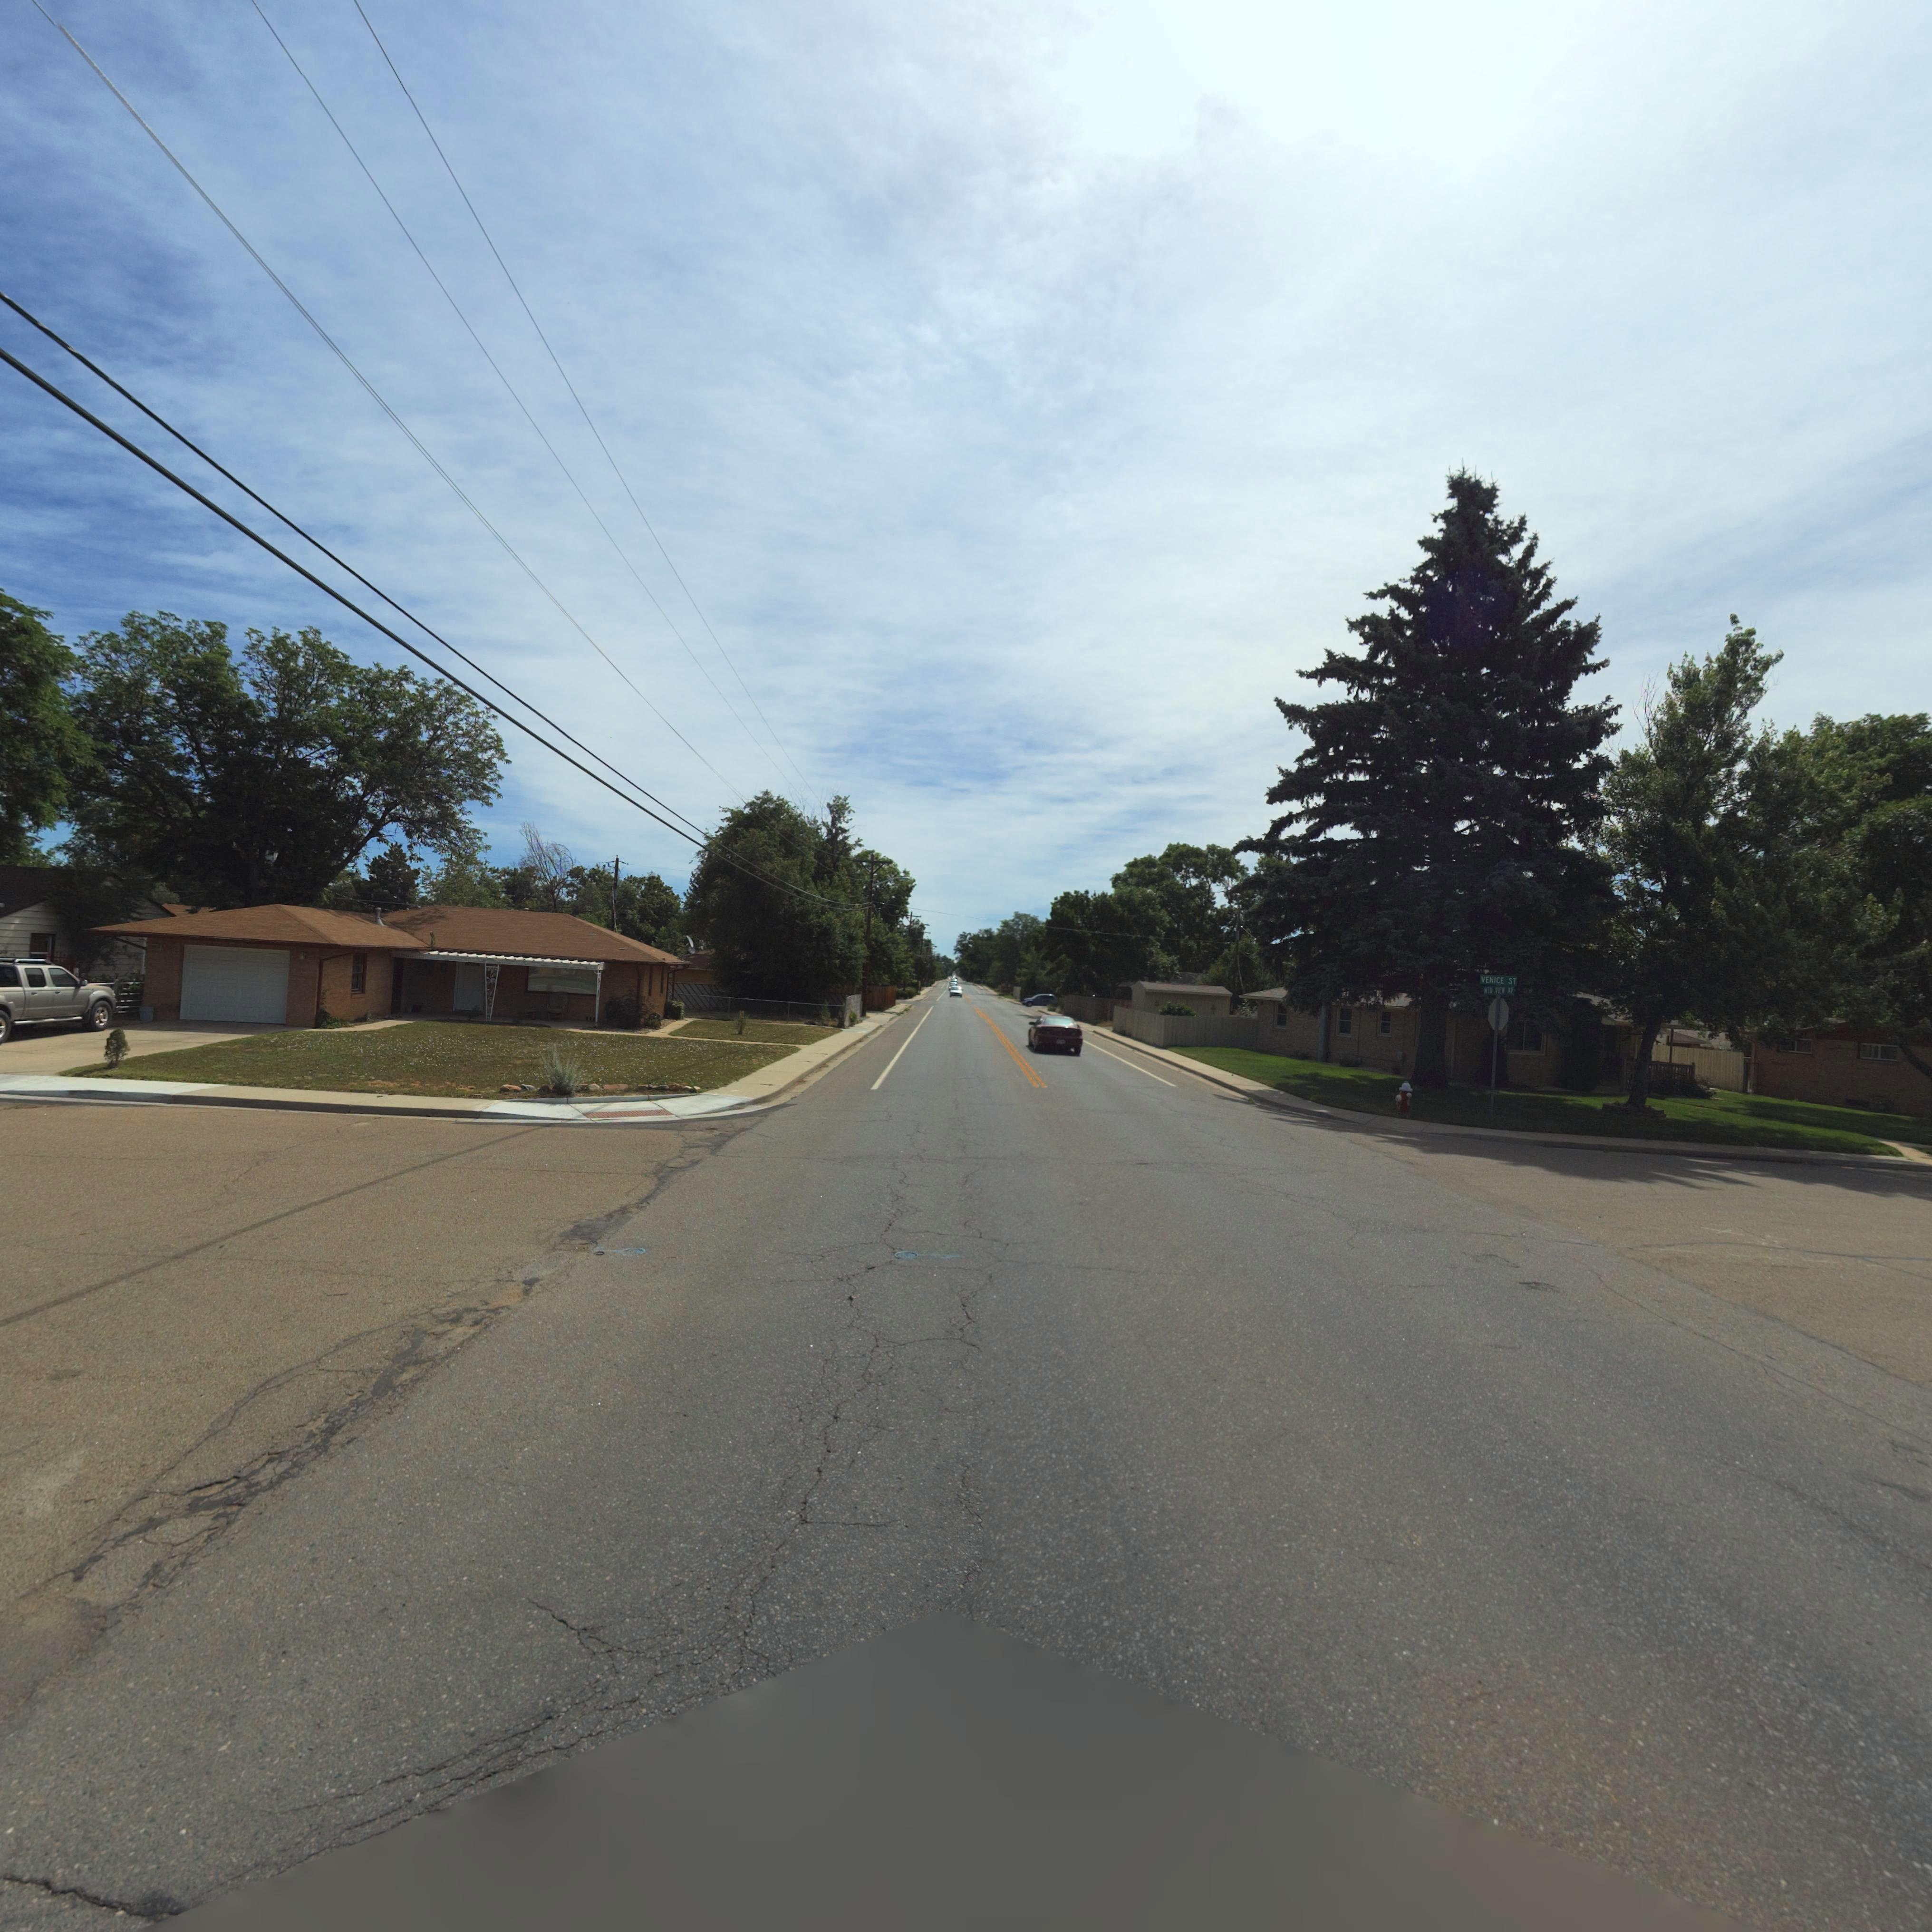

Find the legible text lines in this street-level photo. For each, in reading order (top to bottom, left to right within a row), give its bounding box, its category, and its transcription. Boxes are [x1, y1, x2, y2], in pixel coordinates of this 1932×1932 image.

[1481, 976, 1517, 984] StreetName: VENICE ST
[1484, 986, 1514, 994] StreetName: MTN VIEW AV